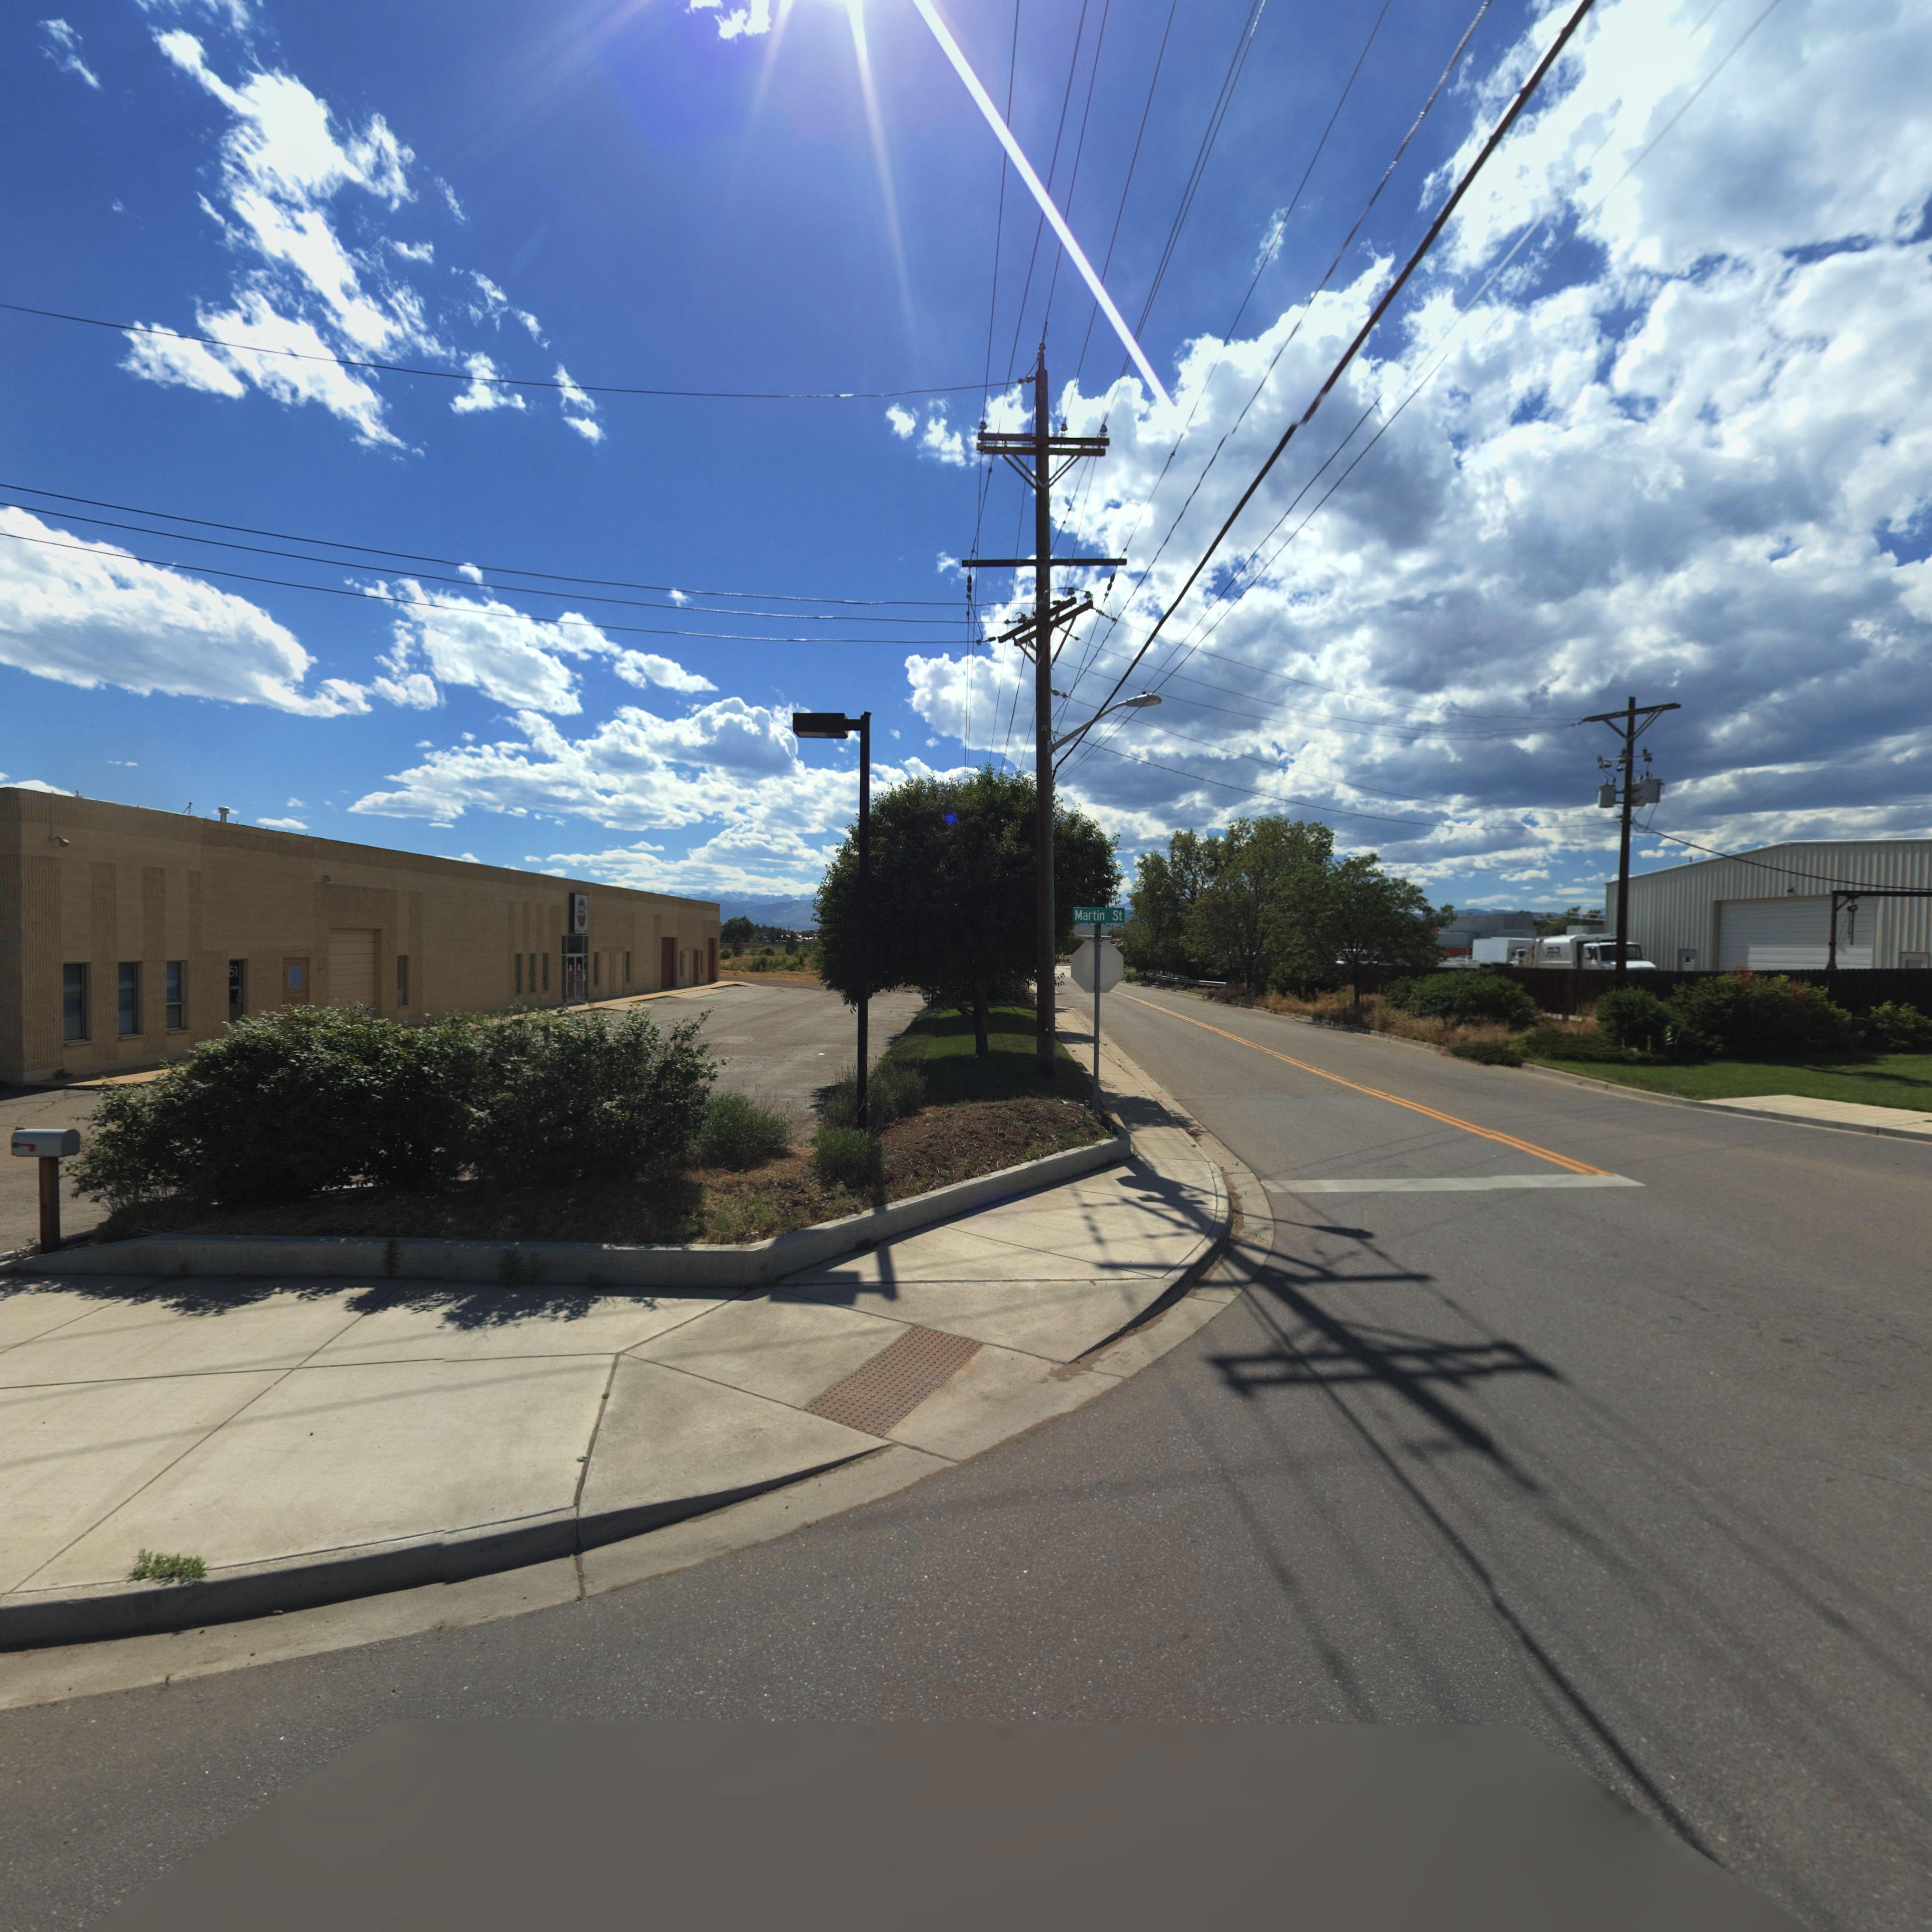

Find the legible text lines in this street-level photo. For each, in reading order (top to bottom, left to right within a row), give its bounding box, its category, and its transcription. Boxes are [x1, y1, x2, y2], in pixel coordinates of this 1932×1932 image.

[1074, 909, 1122, 921] StreetName: Martin St